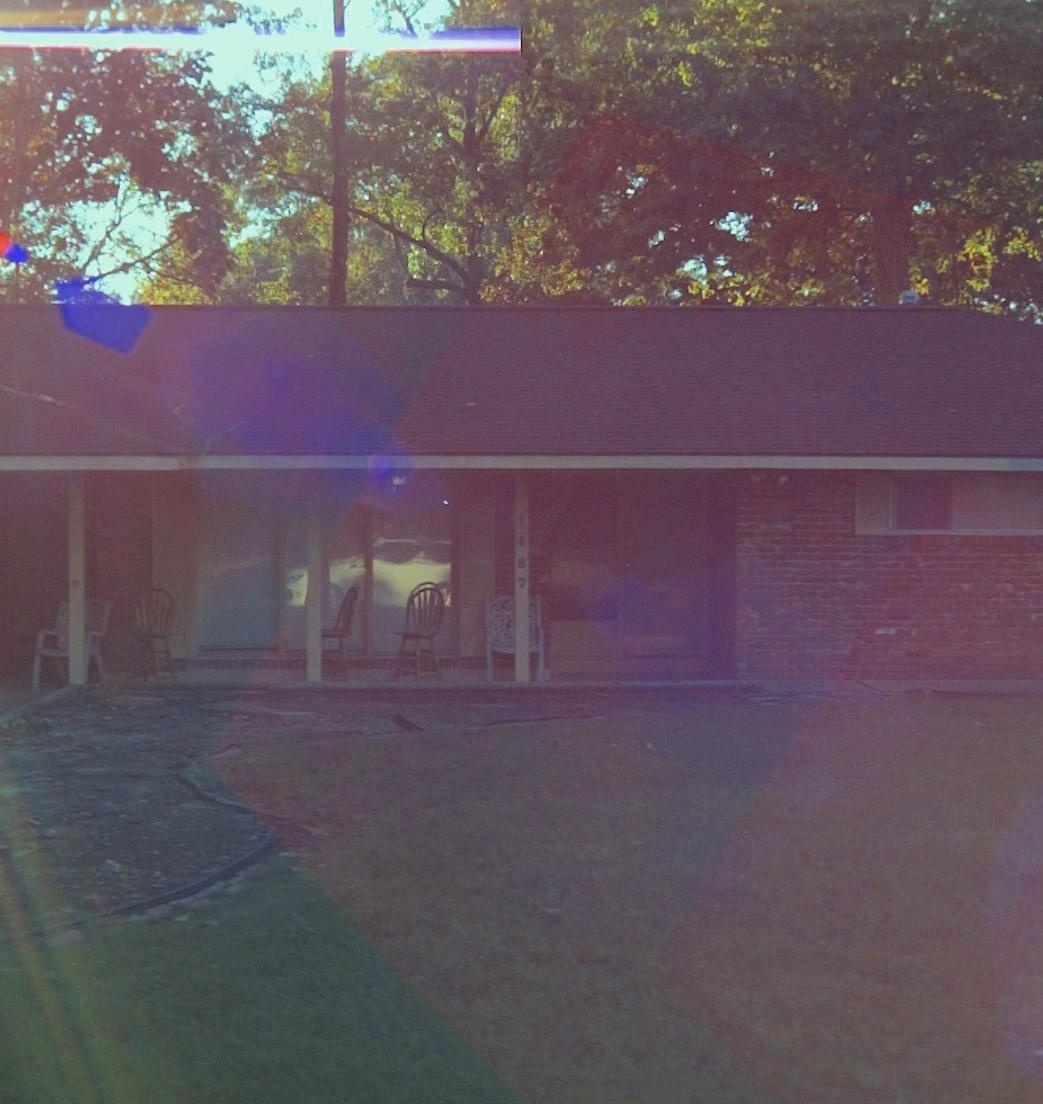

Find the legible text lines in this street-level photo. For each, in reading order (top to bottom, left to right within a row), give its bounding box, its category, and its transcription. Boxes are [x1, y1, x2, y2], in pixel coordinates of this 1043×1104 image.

[516, 511, 527, 590] StreetNumber: 1487